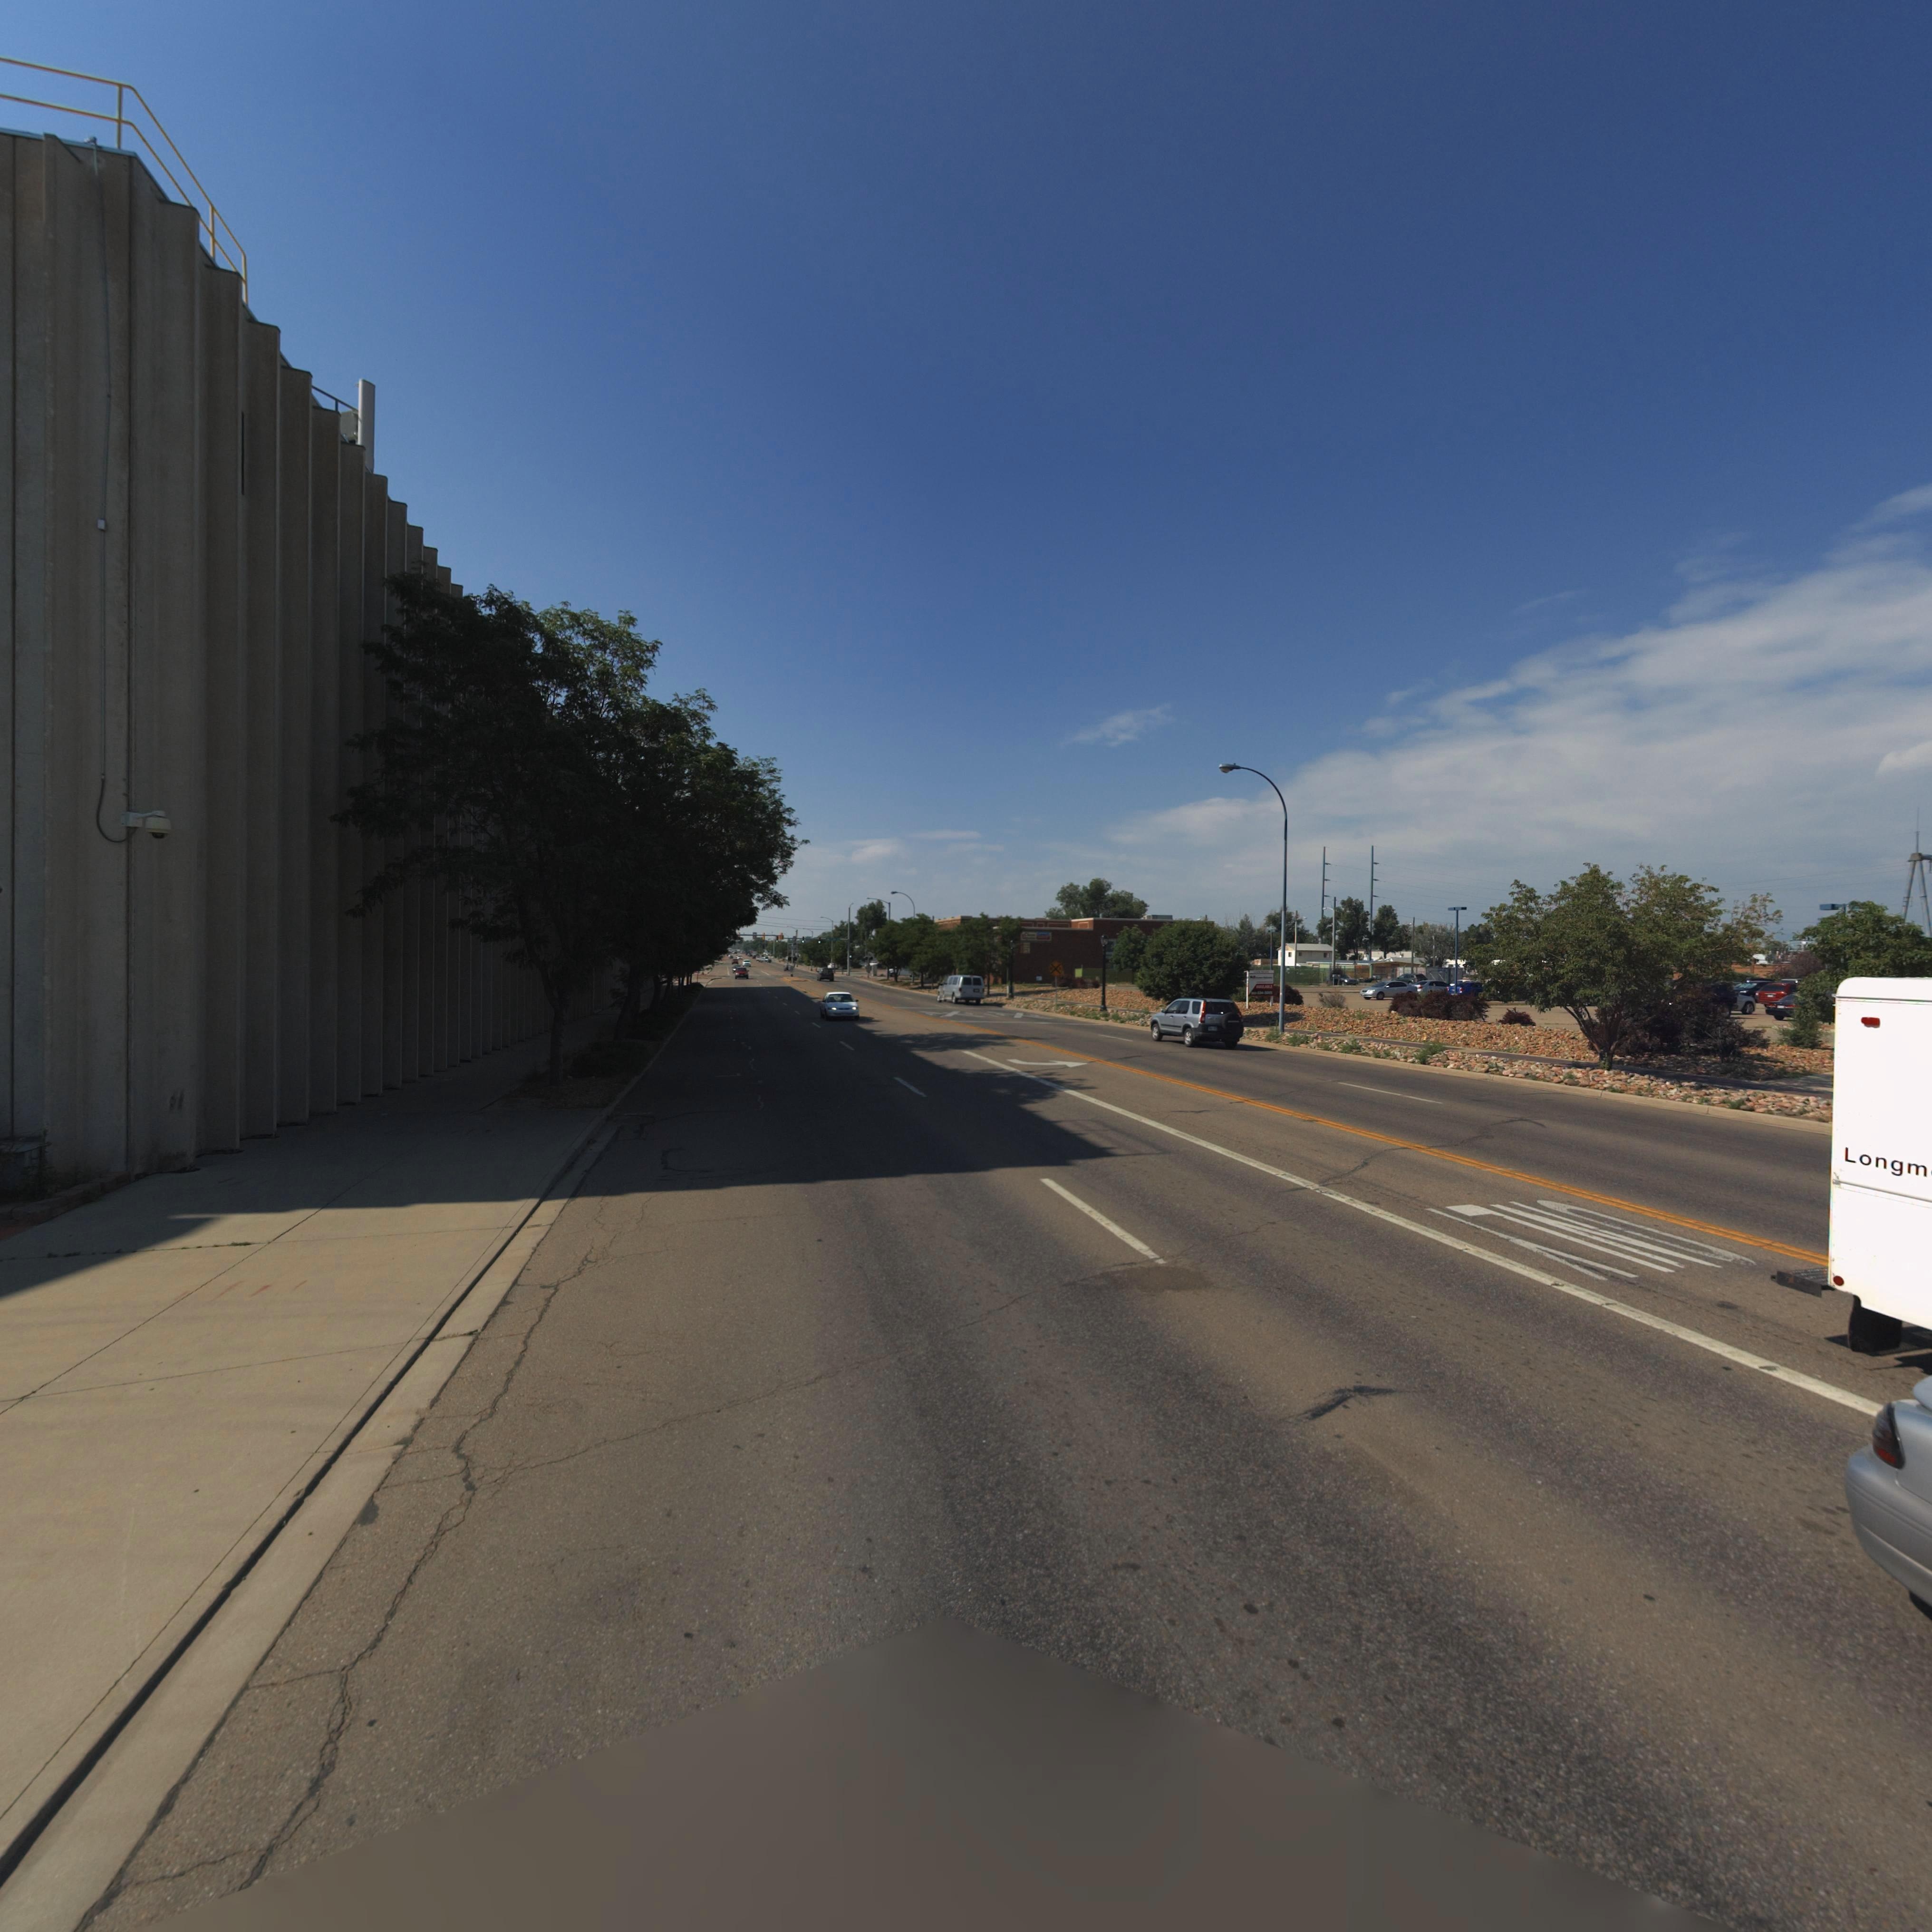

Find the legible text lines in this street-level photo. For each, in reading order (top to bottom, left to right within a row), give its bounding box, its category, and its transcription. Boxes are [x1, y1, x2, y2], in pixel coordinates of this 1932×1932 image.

[1022, 934, 1036, 941] BusinessName: Importers
[1024, 932, 1035, 936] BusinessName: Cheese